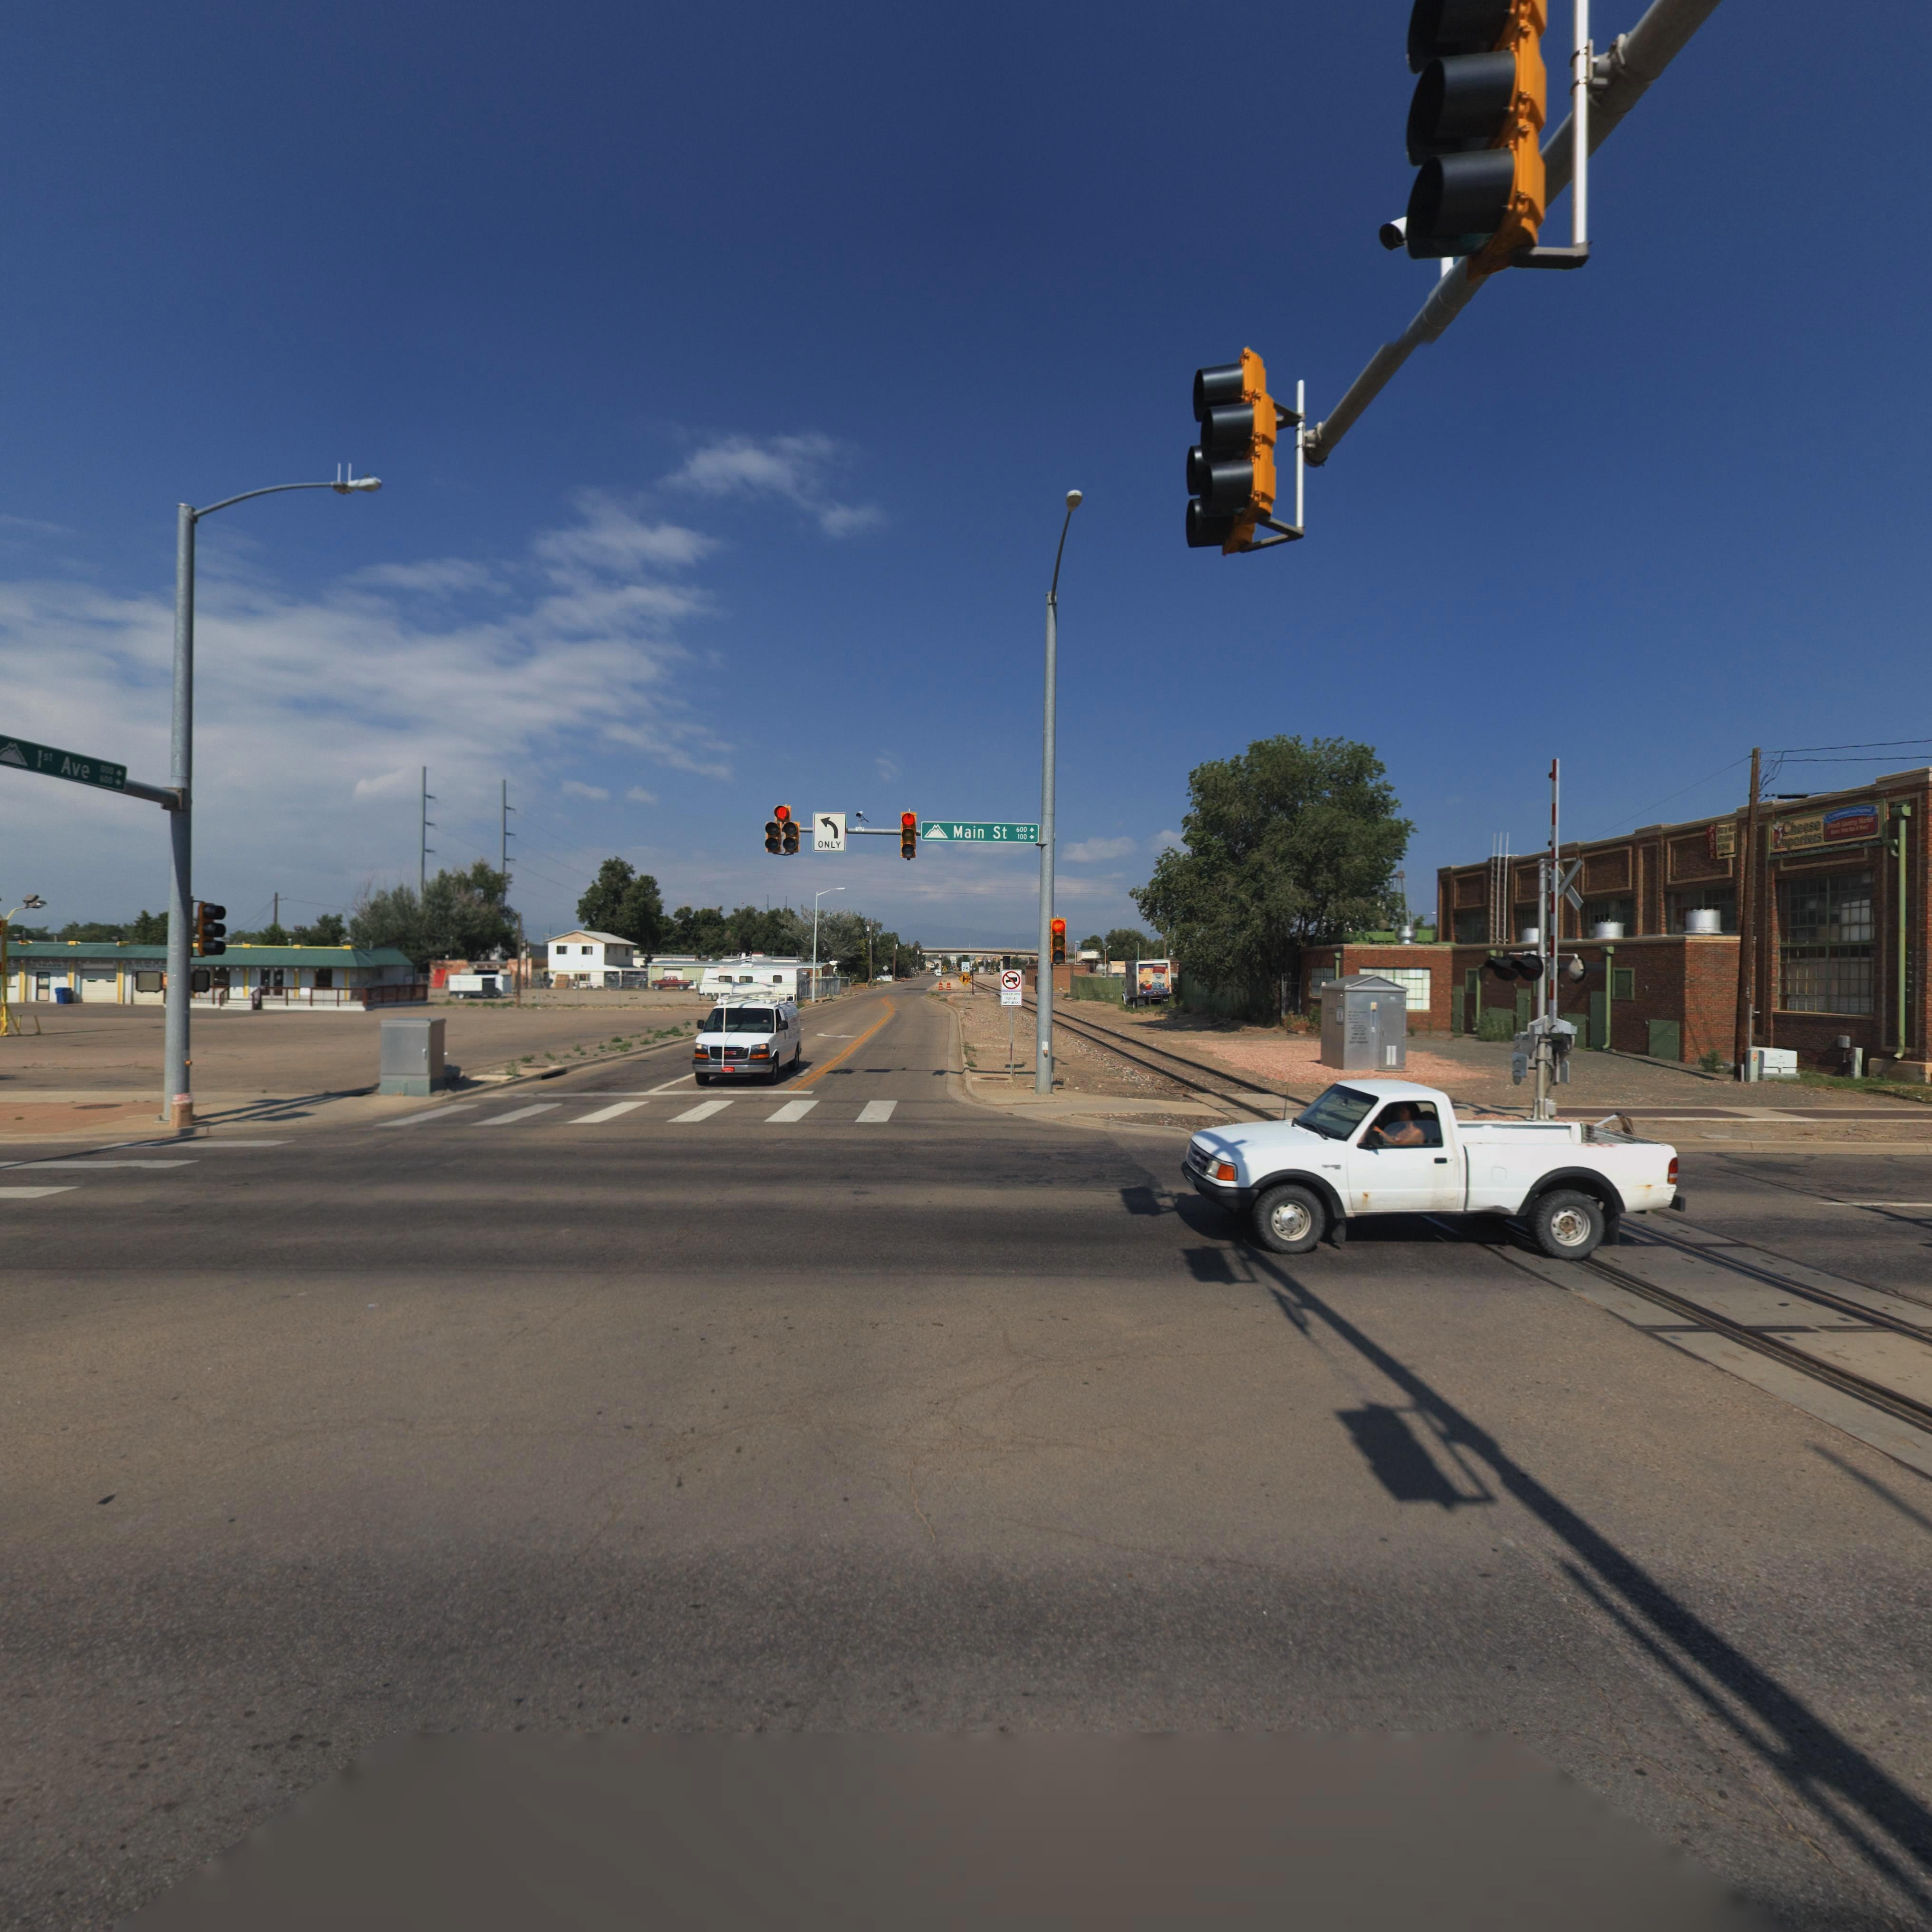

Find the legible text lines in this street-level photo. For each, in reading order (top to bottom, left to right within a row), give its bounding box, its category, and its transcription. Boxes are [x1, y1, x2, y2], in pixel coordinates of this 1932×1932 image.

[36, 749, 90, 779] StreetName: 1st Ave
[99, 764, 114, 775] StreetNumberRange: 000
[98, 774, 121, 785] StreetNumberRange: 600 ->
[953, 825, 1007, 839] StreetName: Main St
[1016, 826, 1027, 832] StreetNumberRange: 600
[1017, 833, 1035, 840] StreetNumberRange: 100 ->
[1775, 832, 1823, 850] BusinessName: Importers
[1780, 821, 1821, 836] BusinessName: Cheese